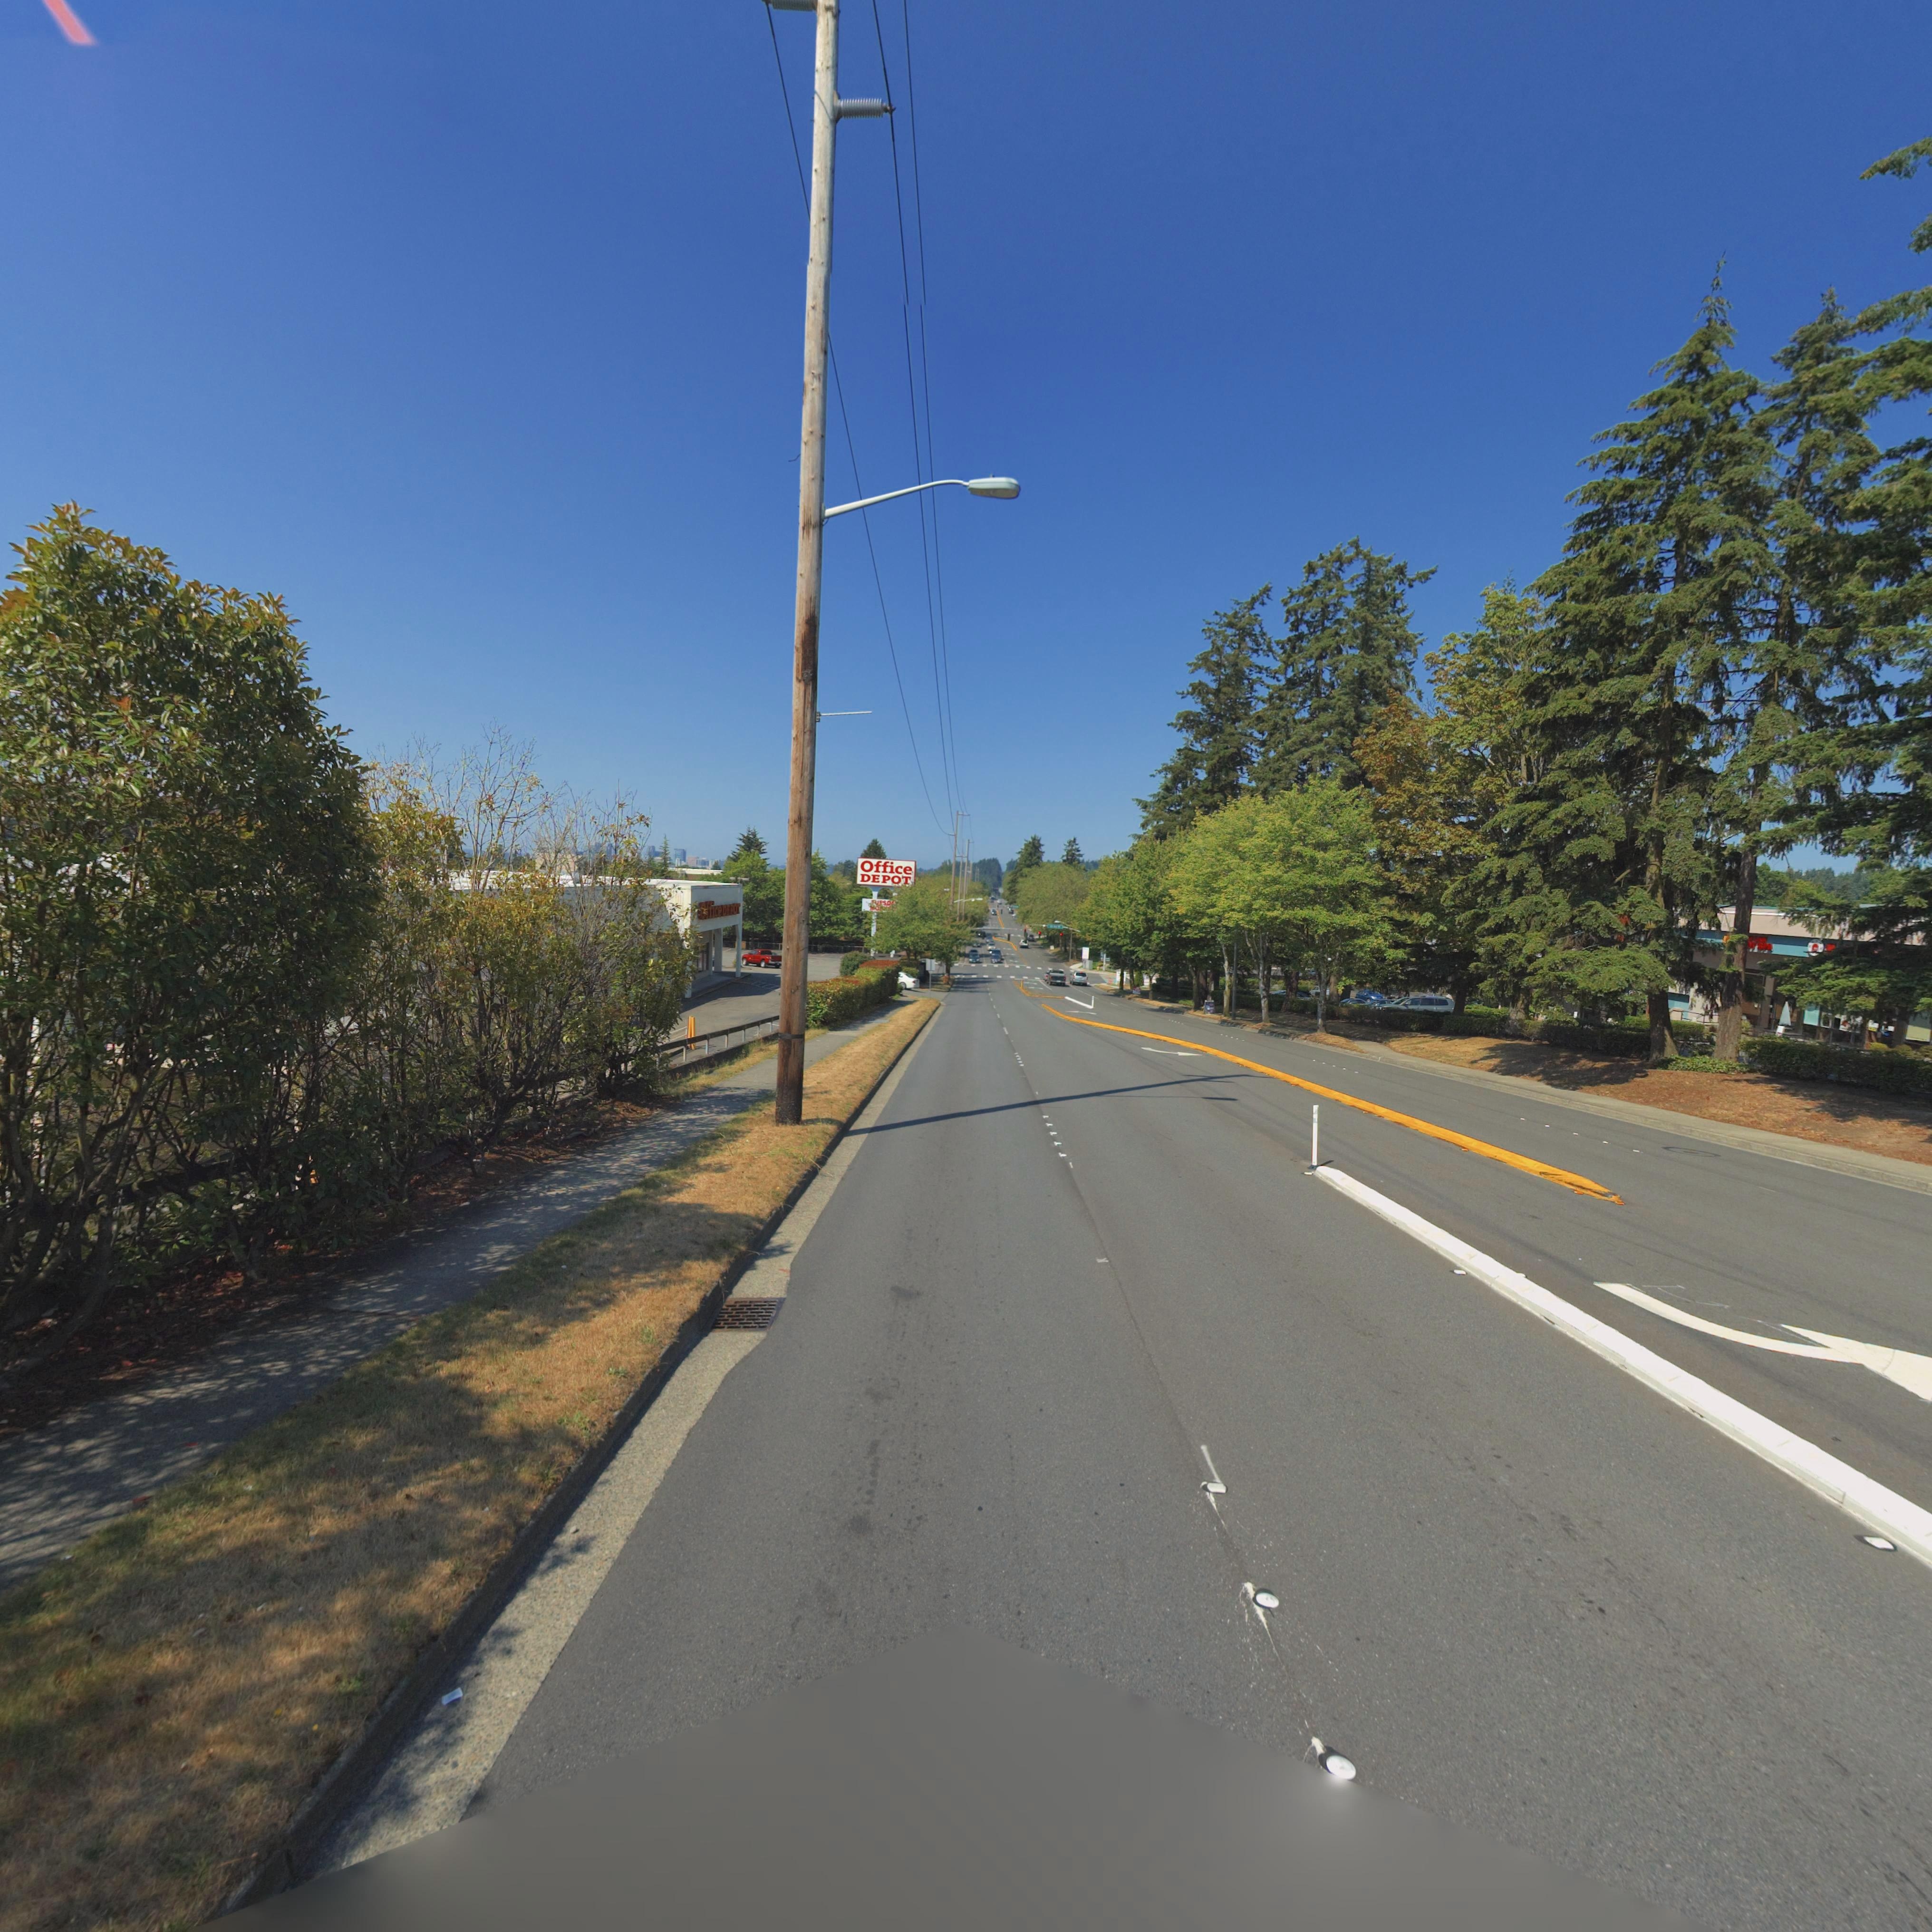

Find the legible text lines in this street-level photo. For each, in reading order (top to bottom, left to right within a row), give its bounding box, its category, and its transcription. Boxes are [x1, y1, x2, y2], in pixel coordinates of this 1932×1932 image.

[860, 860, 913, 876] BusinessName: Office
[860, 874, 910, 885] BusinessName: DEPOT
[698, 898, 744, 922] BusinessName: *ffice DEPOT